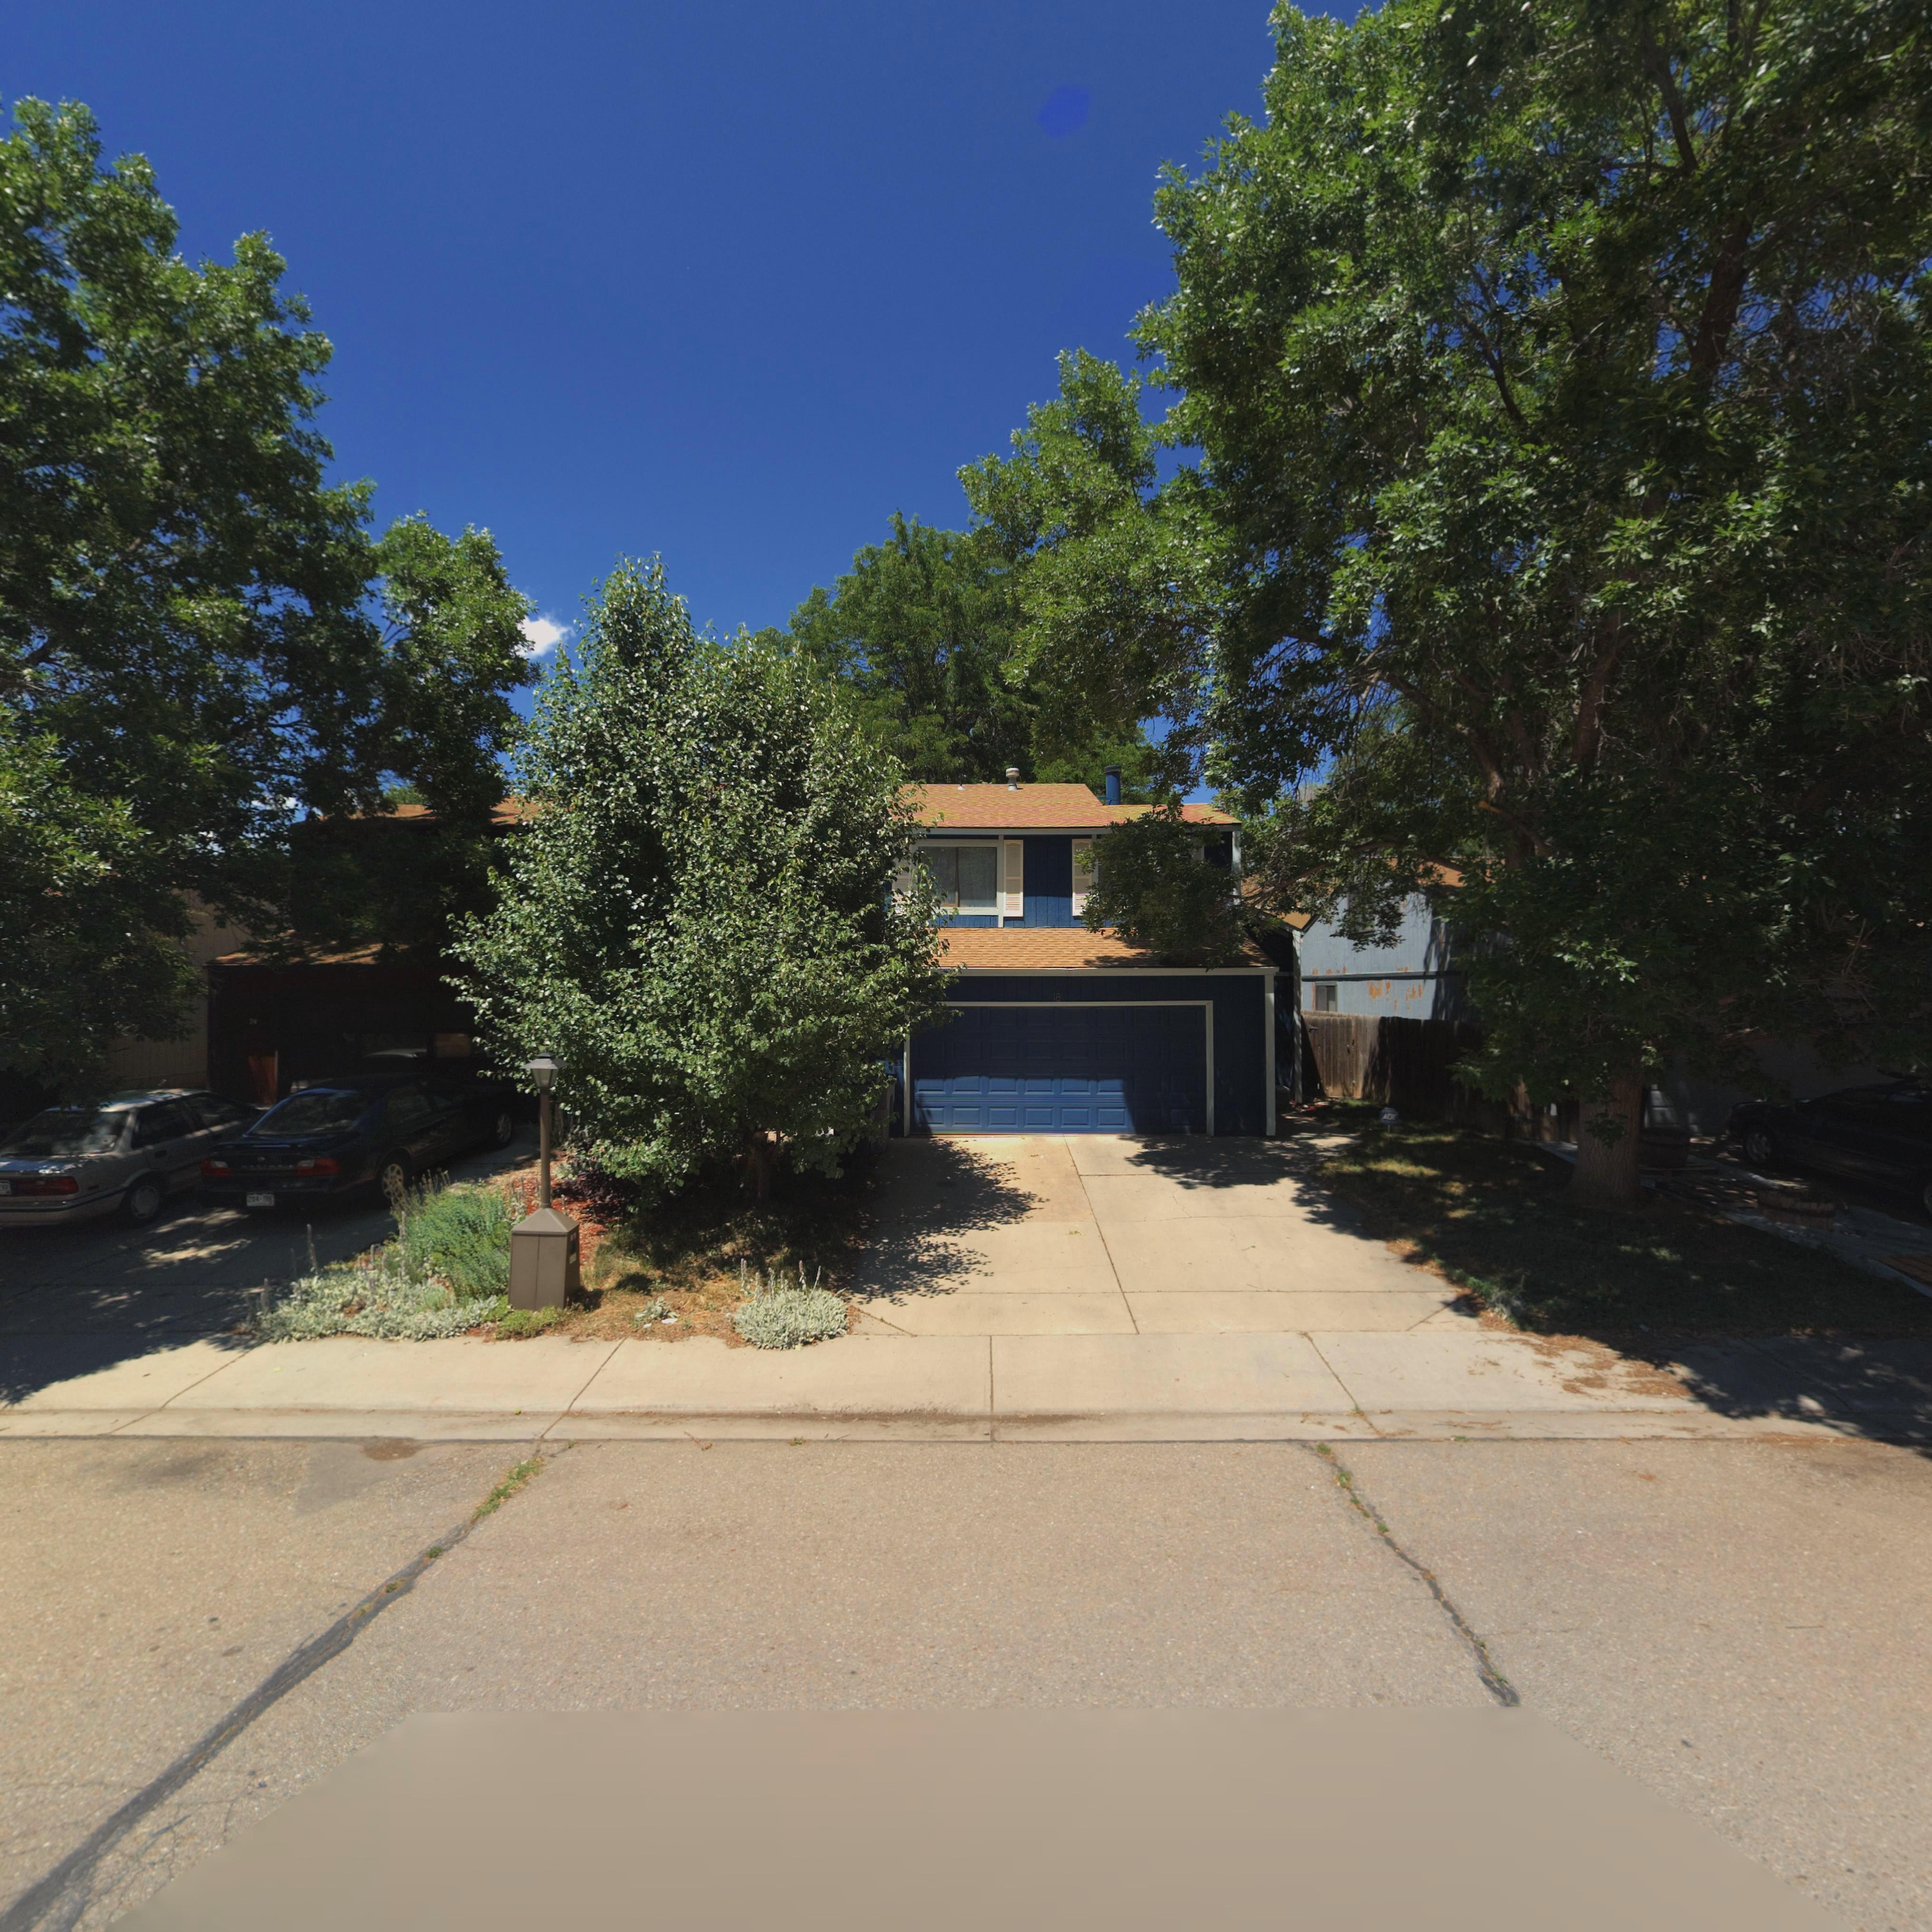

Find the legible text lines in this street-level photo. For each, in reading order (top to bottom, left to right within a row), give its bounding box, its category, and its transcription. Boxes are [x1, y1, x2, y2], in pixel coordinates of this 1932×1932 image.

[1053, 992, 1061, 1001] StreetNumber: 18